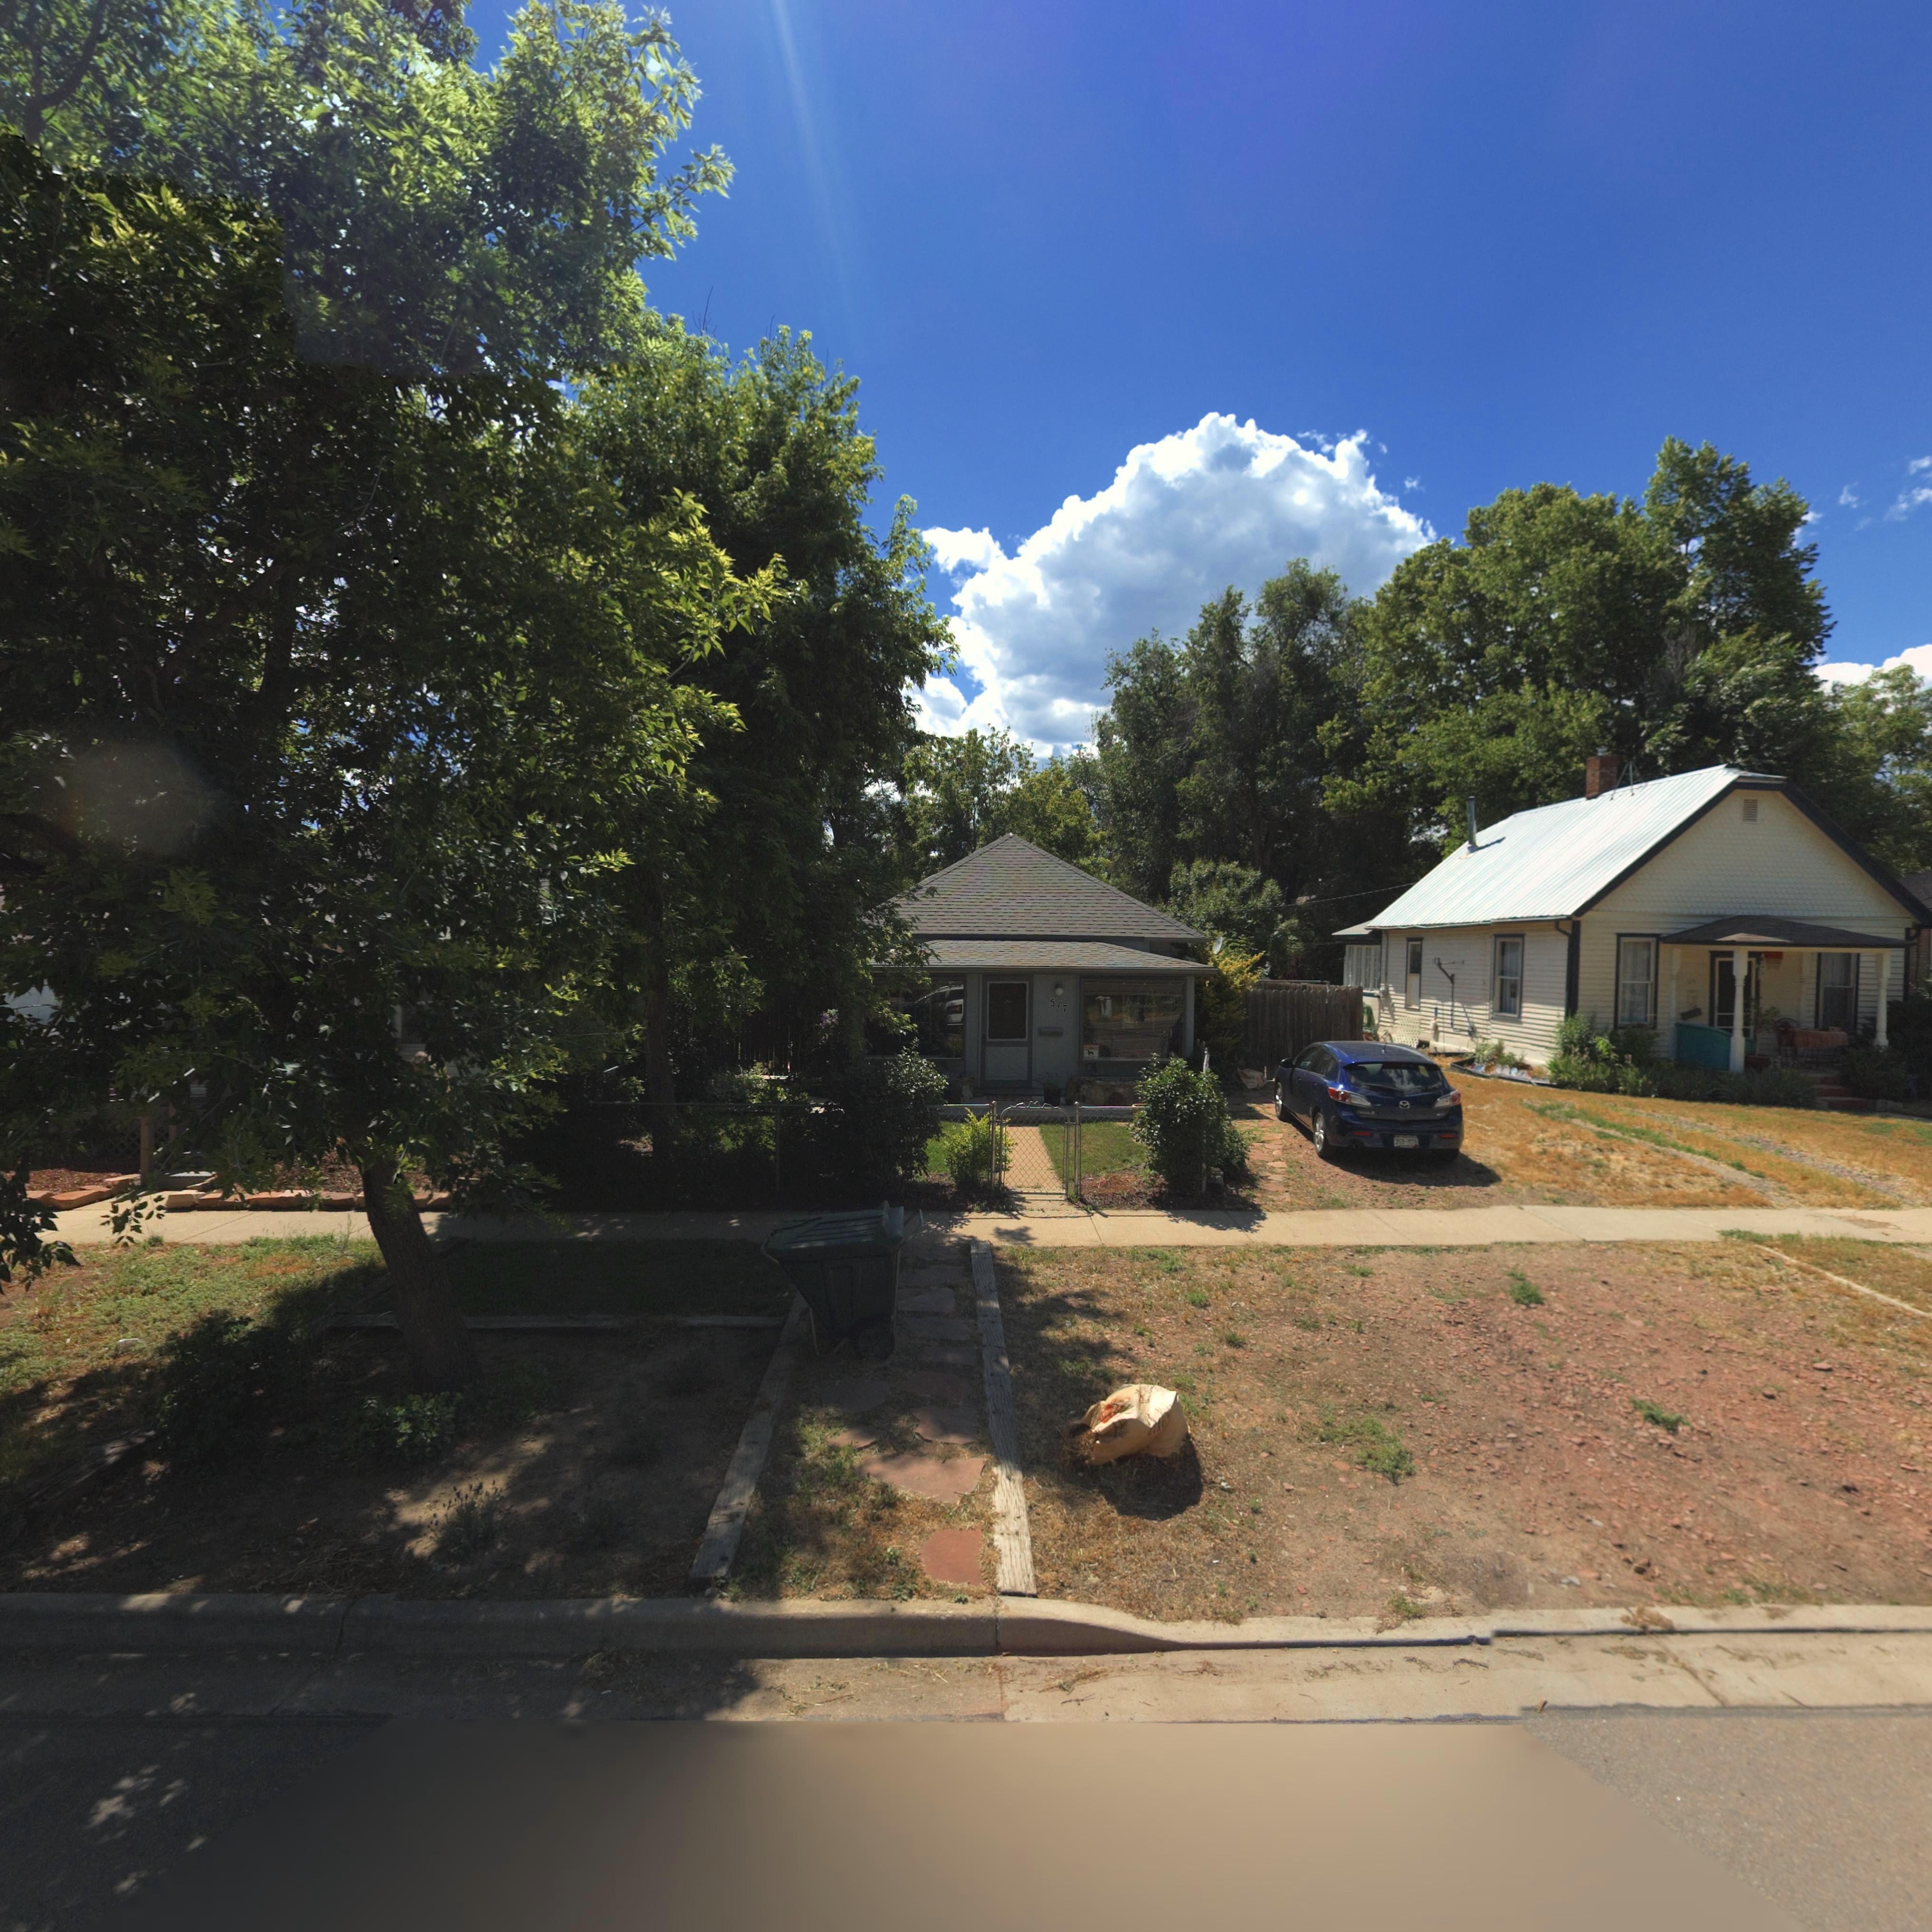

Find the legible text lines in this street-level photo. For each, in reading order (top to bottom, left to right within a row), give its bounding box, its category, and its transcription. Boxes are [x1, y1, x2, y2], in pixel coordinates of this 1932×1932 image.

[1049, 997, 1069, 1013] StreetNumber: 517